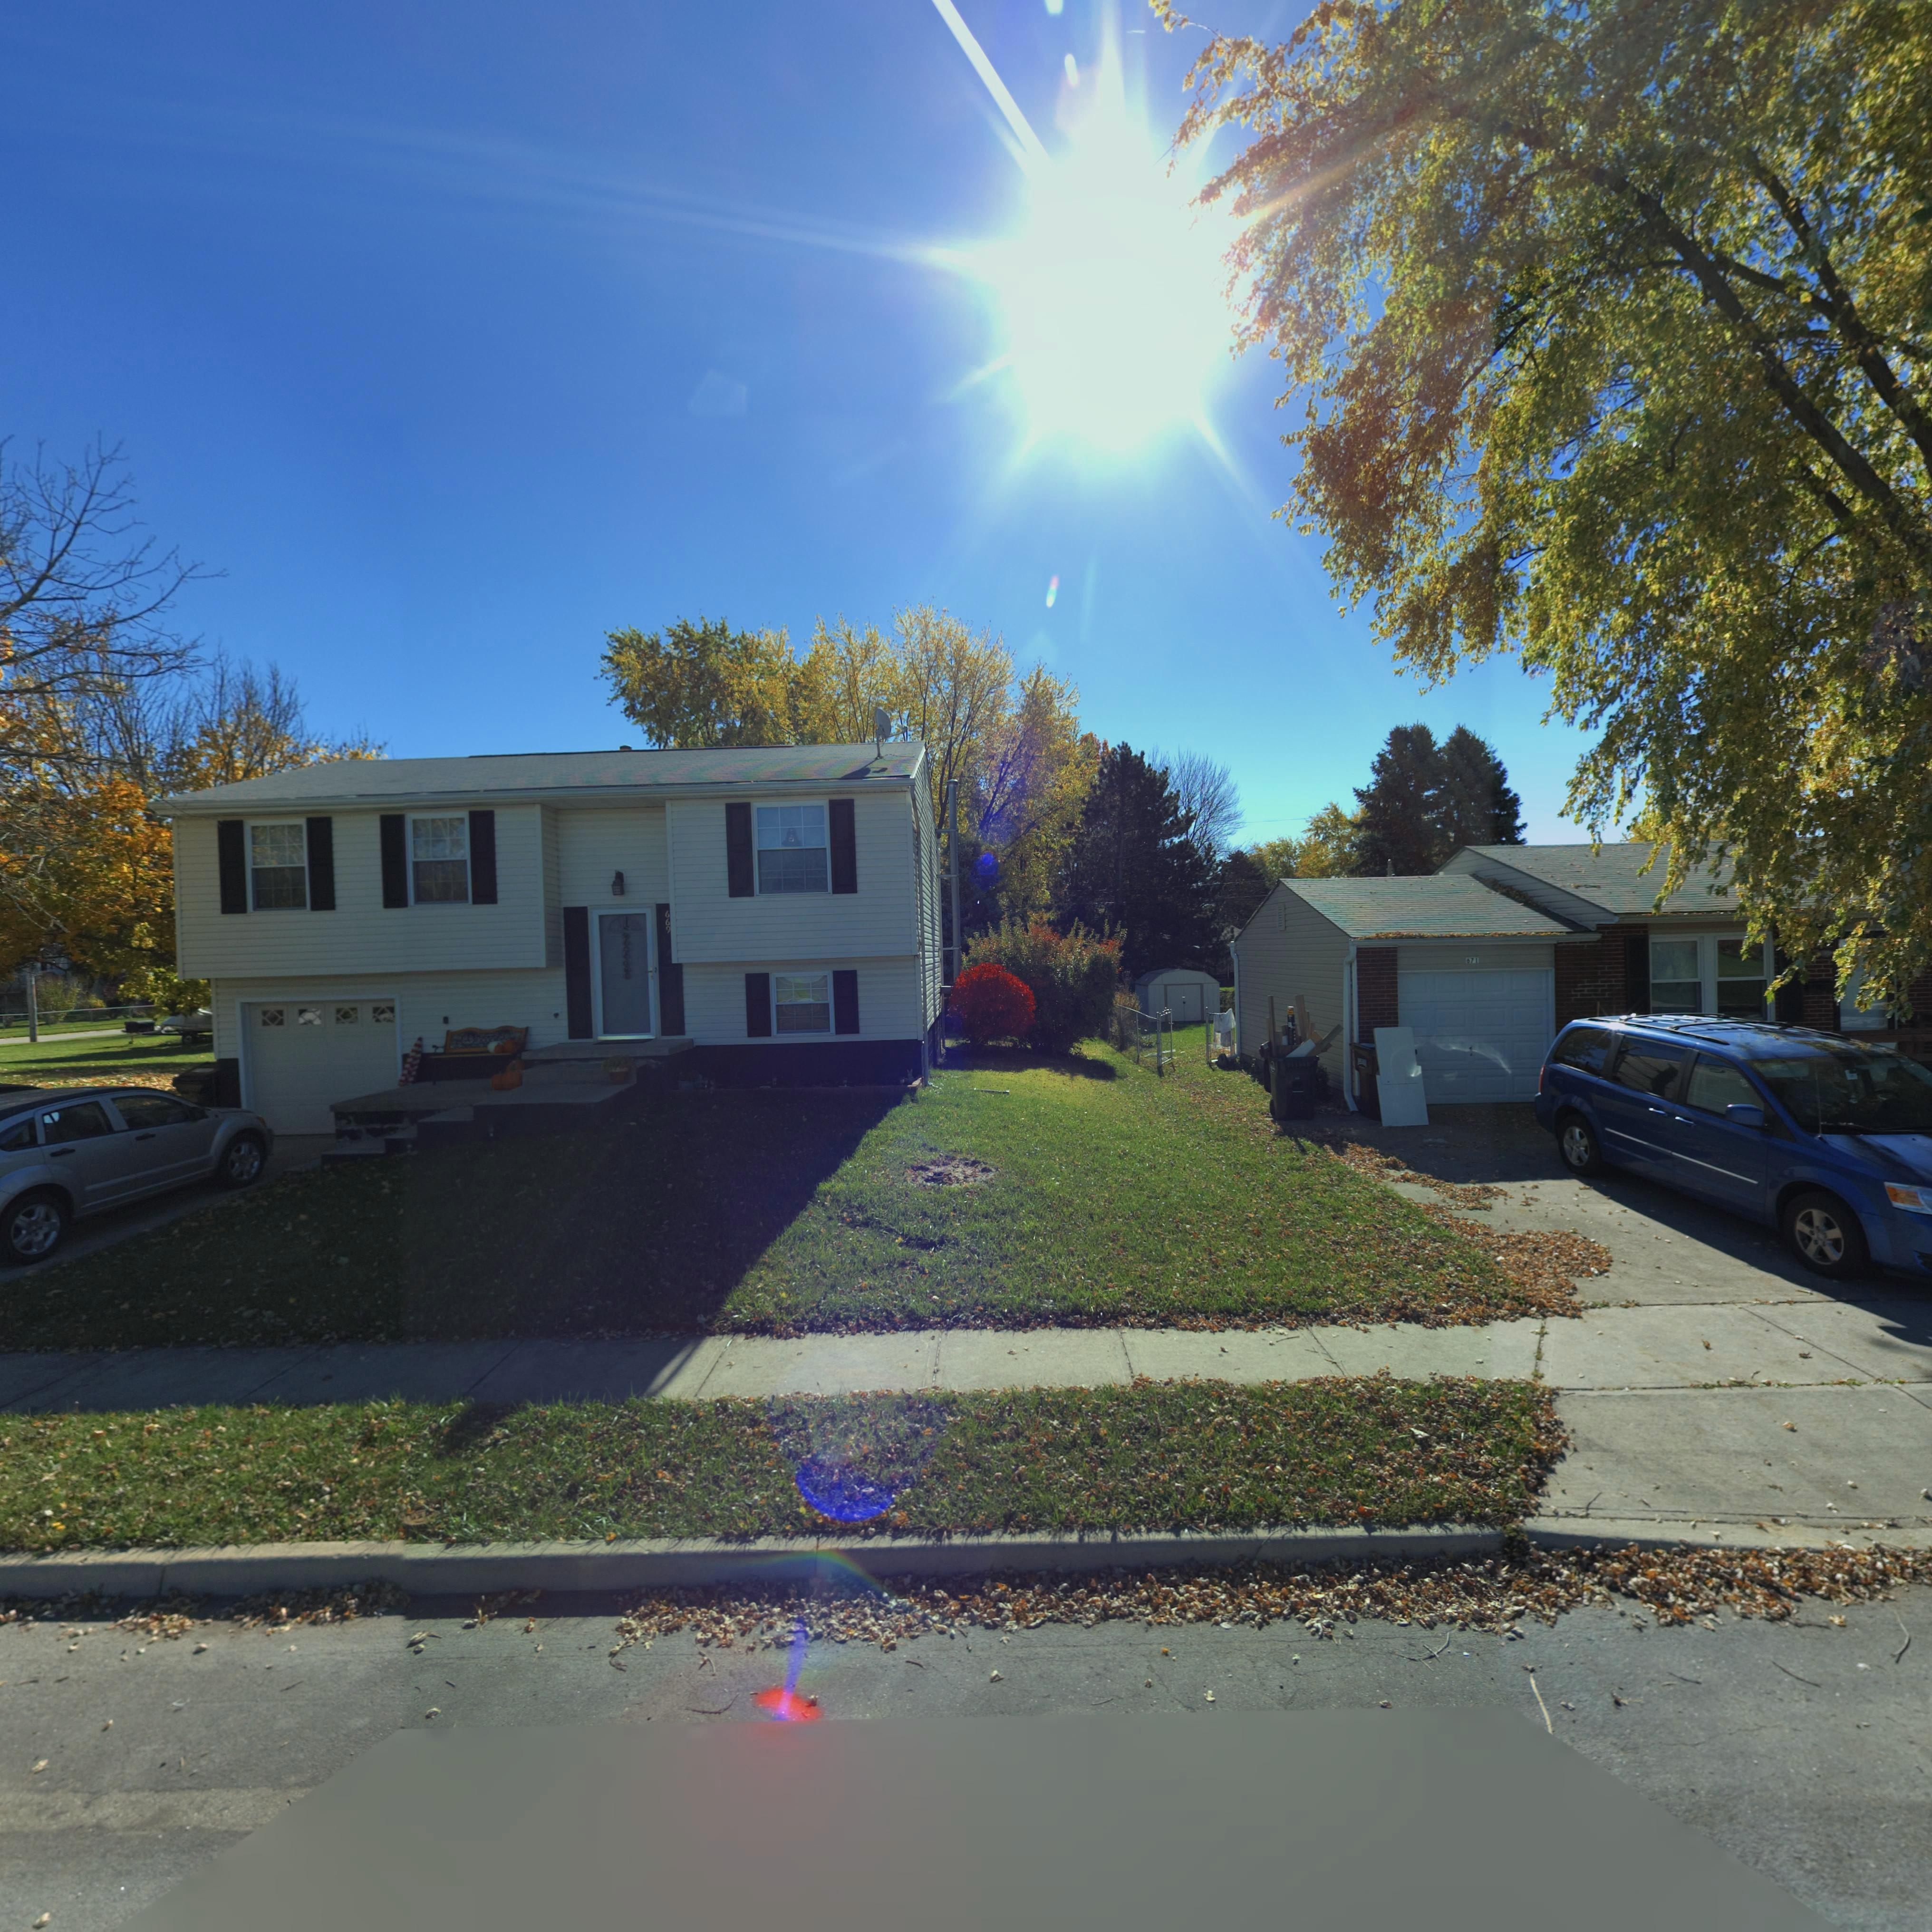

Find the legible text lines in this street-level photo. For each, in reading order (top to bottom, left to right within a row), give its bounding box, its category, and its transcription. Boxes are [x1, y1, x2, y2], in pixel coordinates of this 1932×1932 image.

[665, 910, 671, 934] StreetNumber: 669
[1466, 957, 1478, 964] StreetNumber: 671